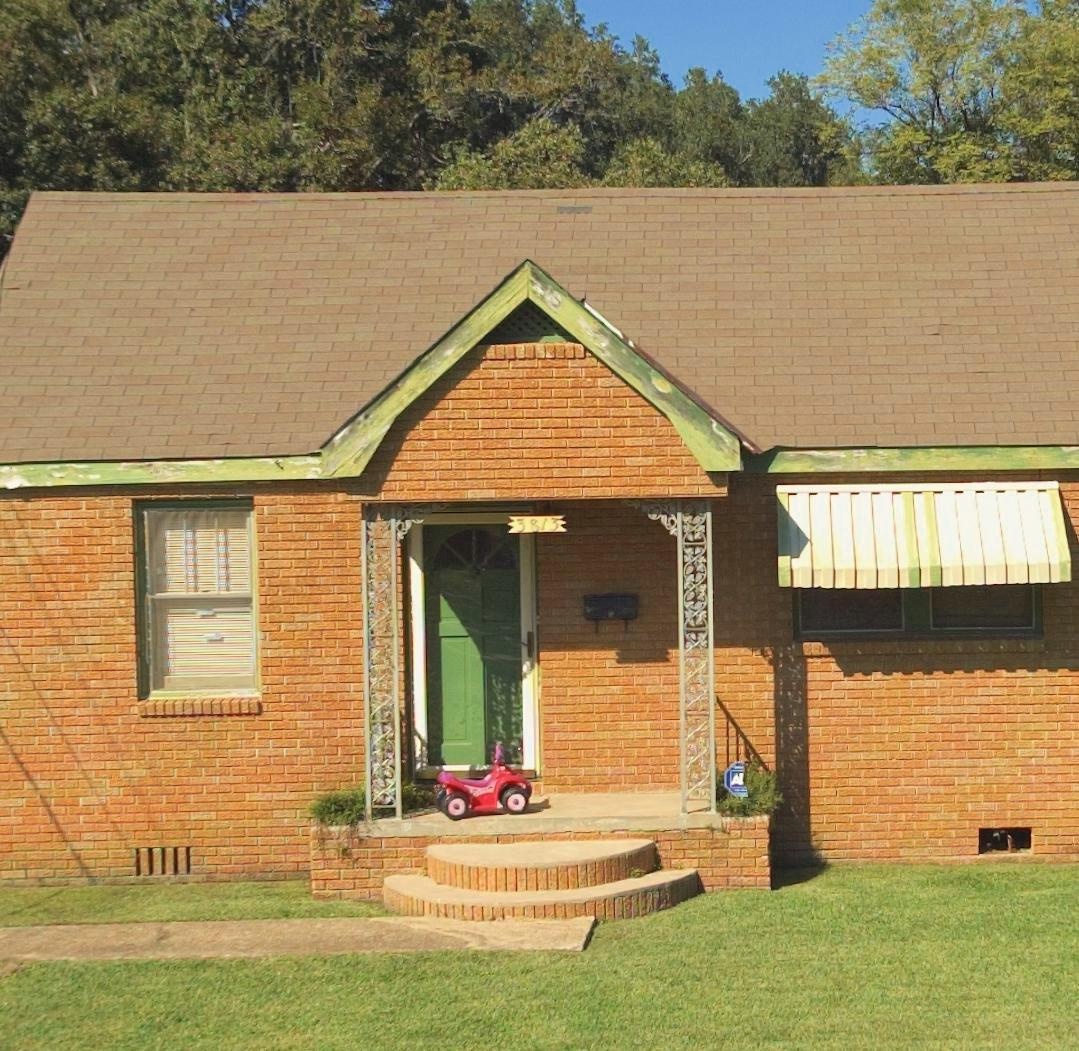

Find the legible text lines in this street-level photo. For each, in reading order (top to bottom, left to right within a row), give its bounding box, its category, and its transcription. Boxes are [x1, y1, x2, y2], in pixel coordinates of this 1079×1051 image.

[514, 517, 560, 533] StreetNumber: 3813